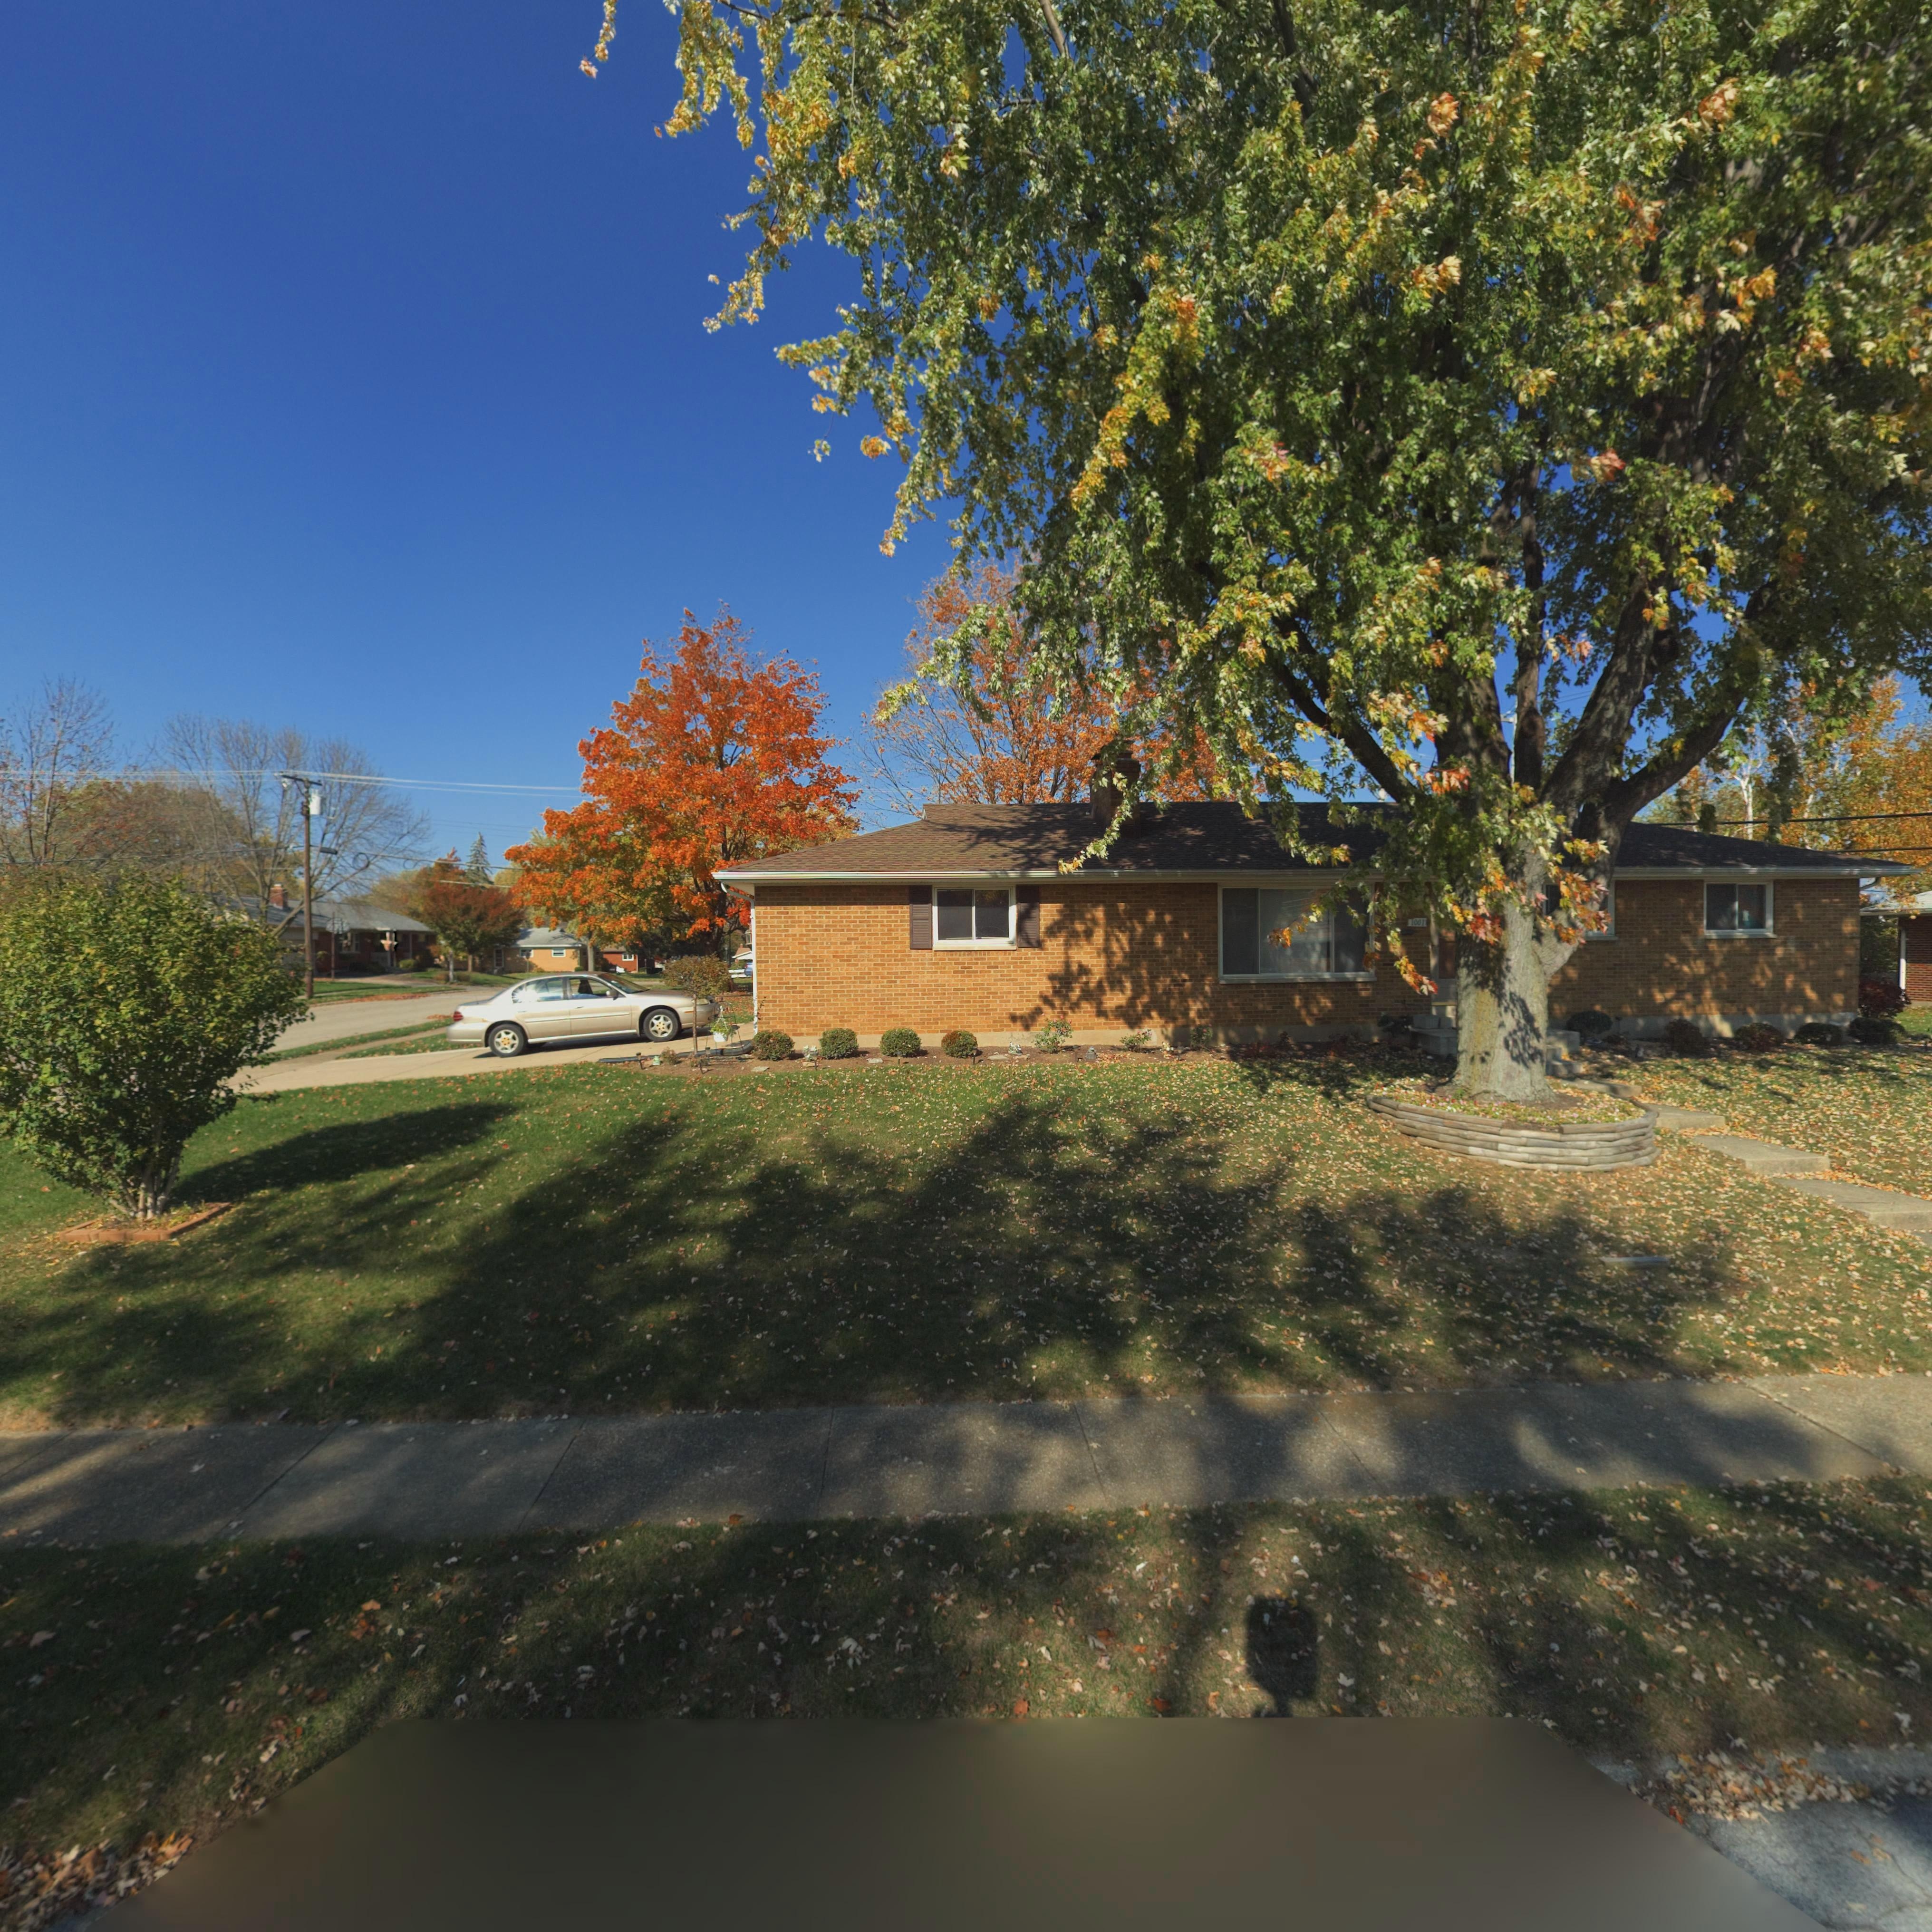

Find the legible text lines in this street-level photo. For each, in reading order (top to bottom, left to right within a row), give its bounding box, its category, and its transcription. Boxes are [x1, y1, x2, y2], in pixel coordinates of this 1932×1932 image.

[1410, 918, 1424, 926] StreetNumber: 1001